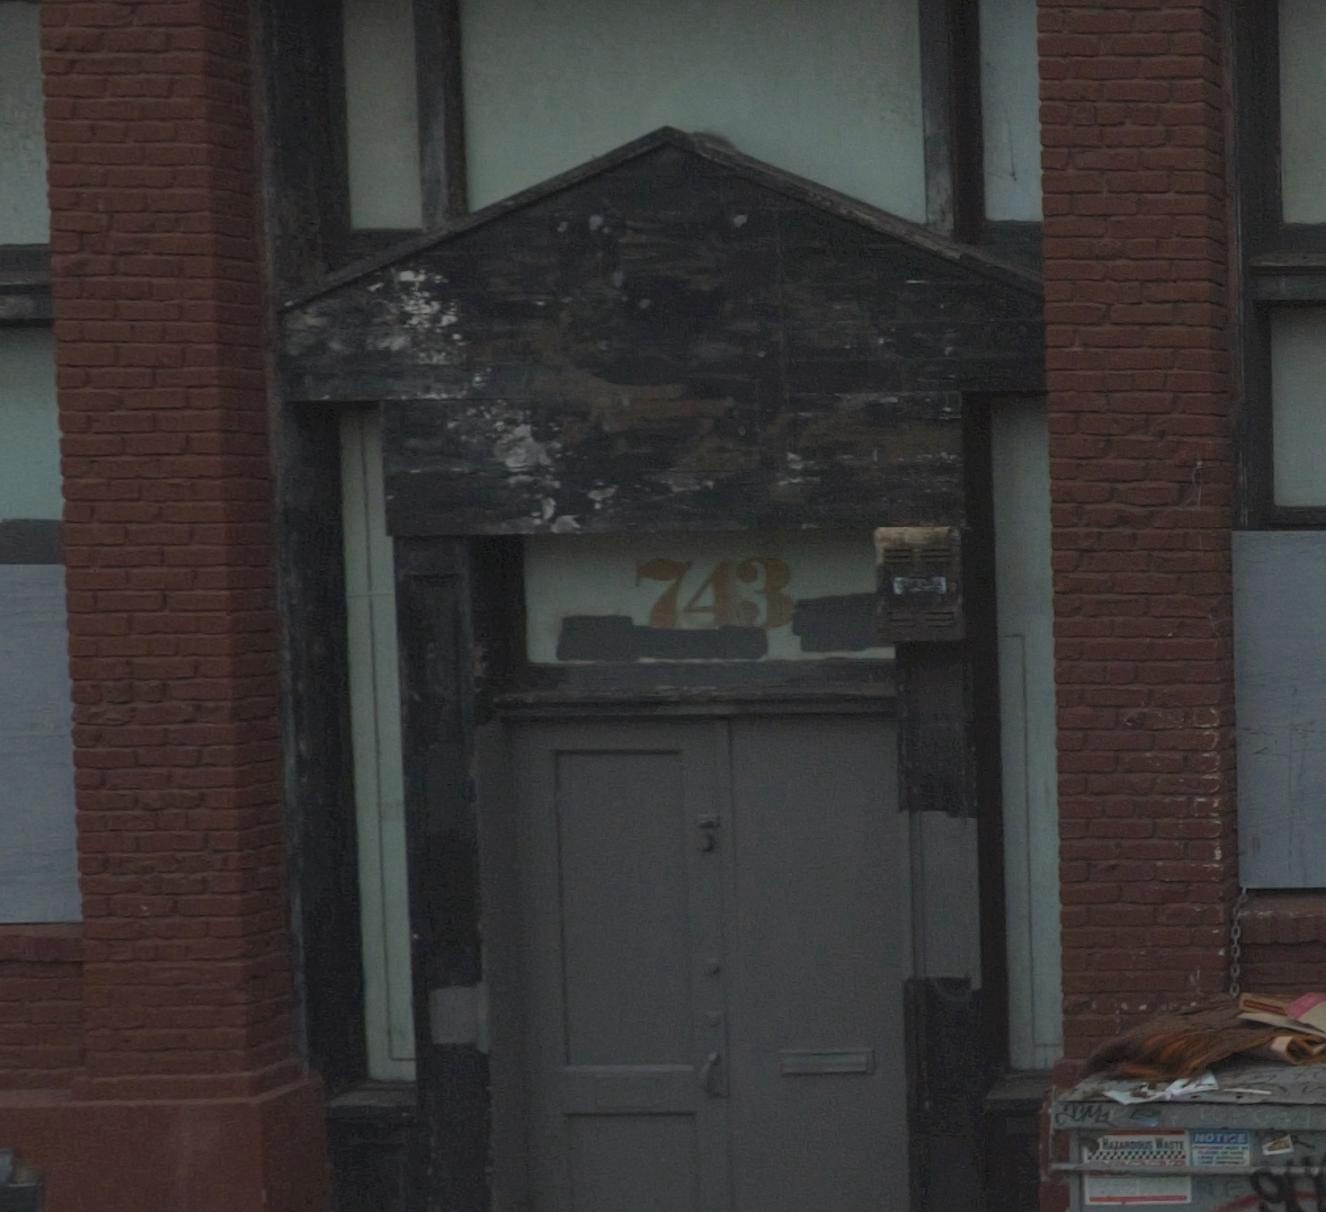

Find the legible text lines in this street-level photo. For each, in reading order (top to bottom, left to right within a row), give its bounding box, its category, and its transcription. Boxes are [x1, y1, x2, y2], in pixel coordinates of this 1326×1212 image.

[632, 556, 796, 632] StreetNumber: 743